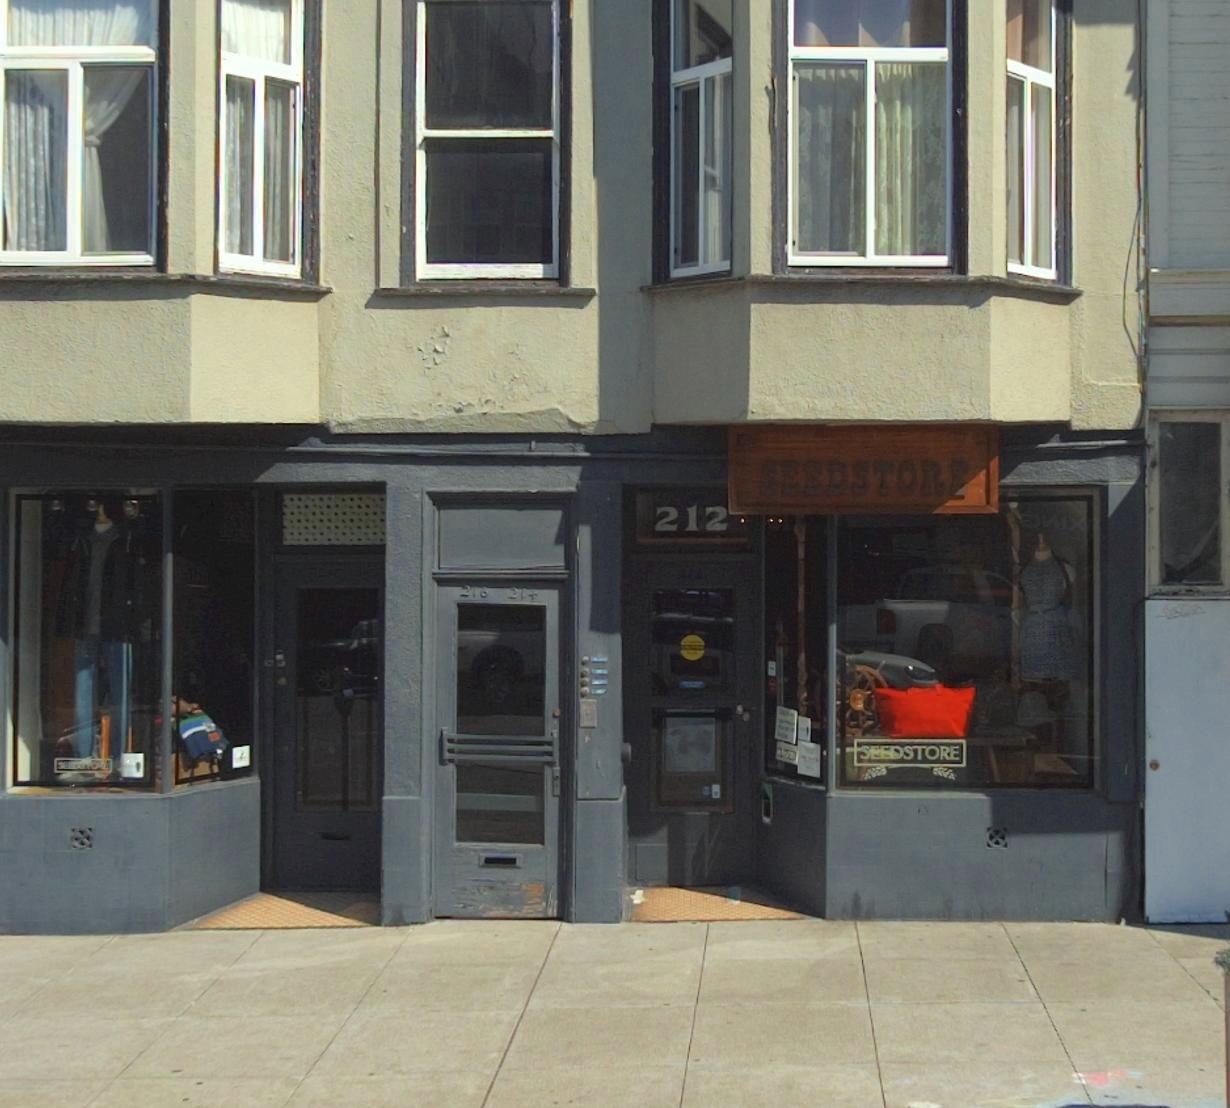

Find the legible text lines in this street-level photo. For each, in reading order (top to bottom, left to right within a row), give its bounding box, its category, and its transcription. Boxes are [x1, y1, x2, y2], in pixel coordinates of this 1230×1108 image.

[756, 454, 969, 499] BusinessName: SEEDSTORE
[650, 502, 730, 535] StreetNumber: 212
[457, 580, 489, 599] StreetNumber: 216
[505, 585, 539, 603] StreetNumber: 214
[858, 743, 960, 762] BusinessName: SEEDSTORE